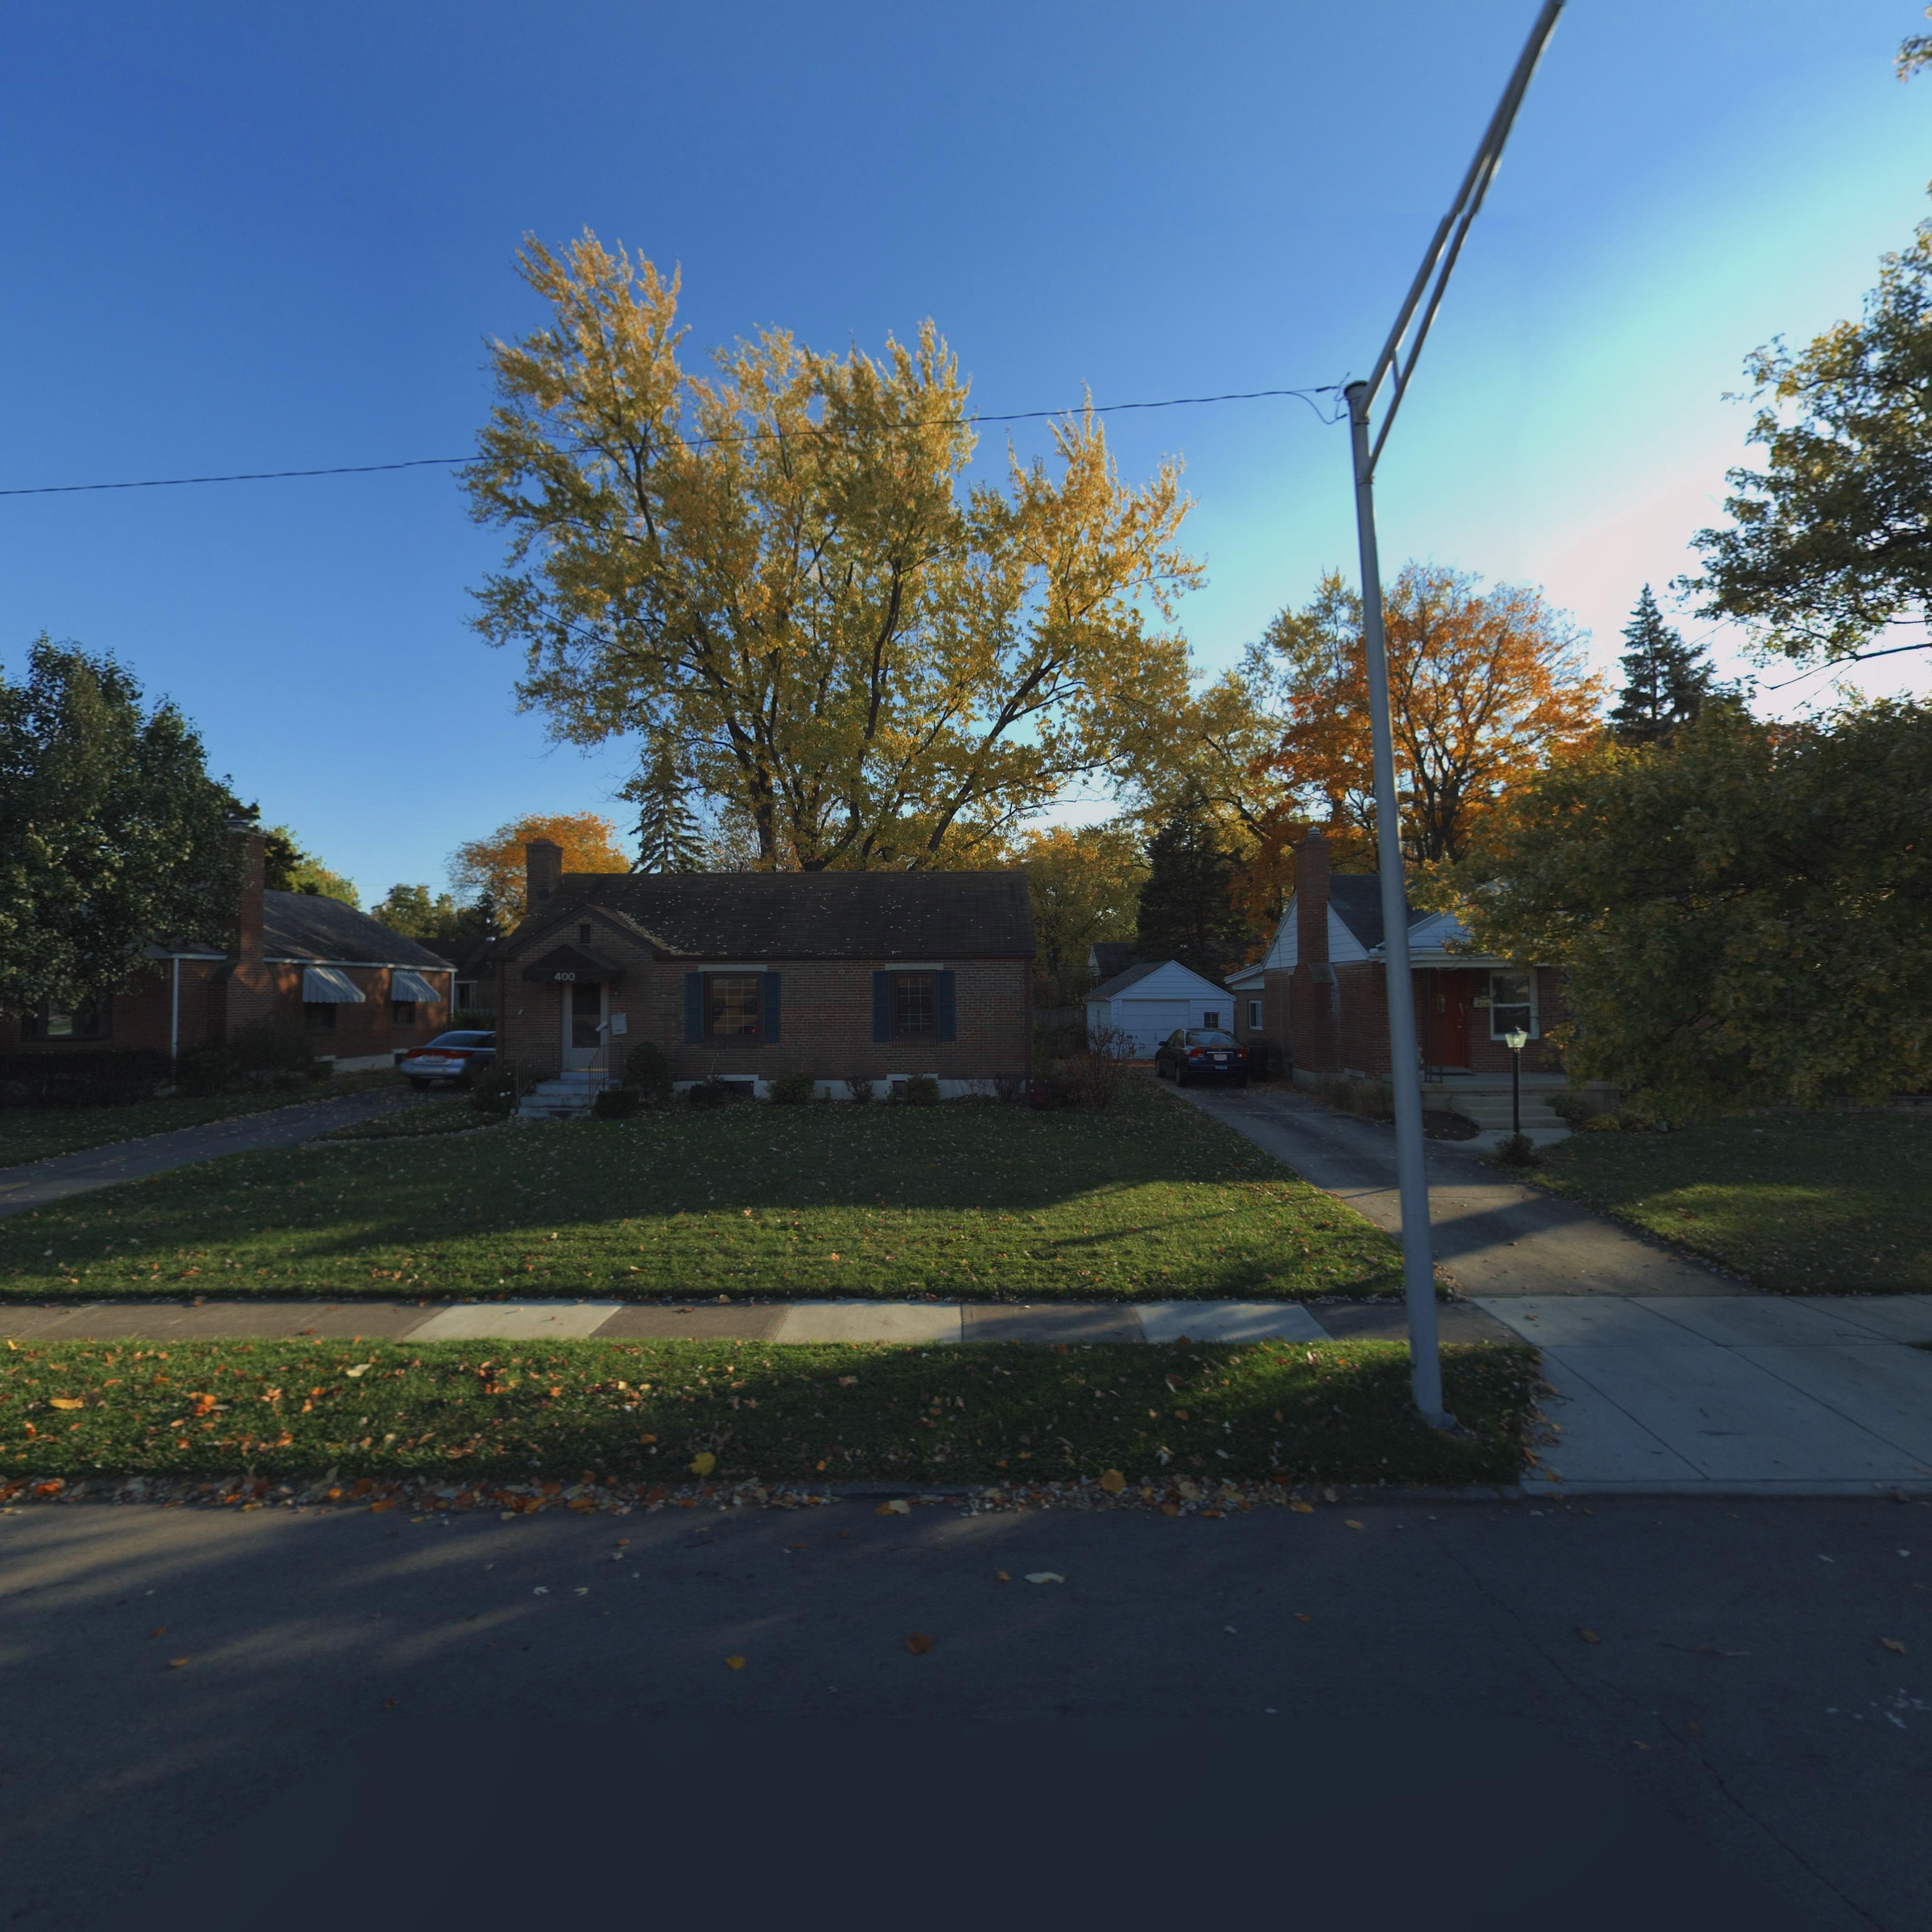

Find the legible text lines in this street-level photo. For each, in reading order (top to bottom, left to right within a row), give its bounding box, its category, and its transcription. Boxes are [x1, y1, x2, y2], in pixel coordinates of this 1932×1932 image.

[554, 971, 576, 981] StreetNumber: 400